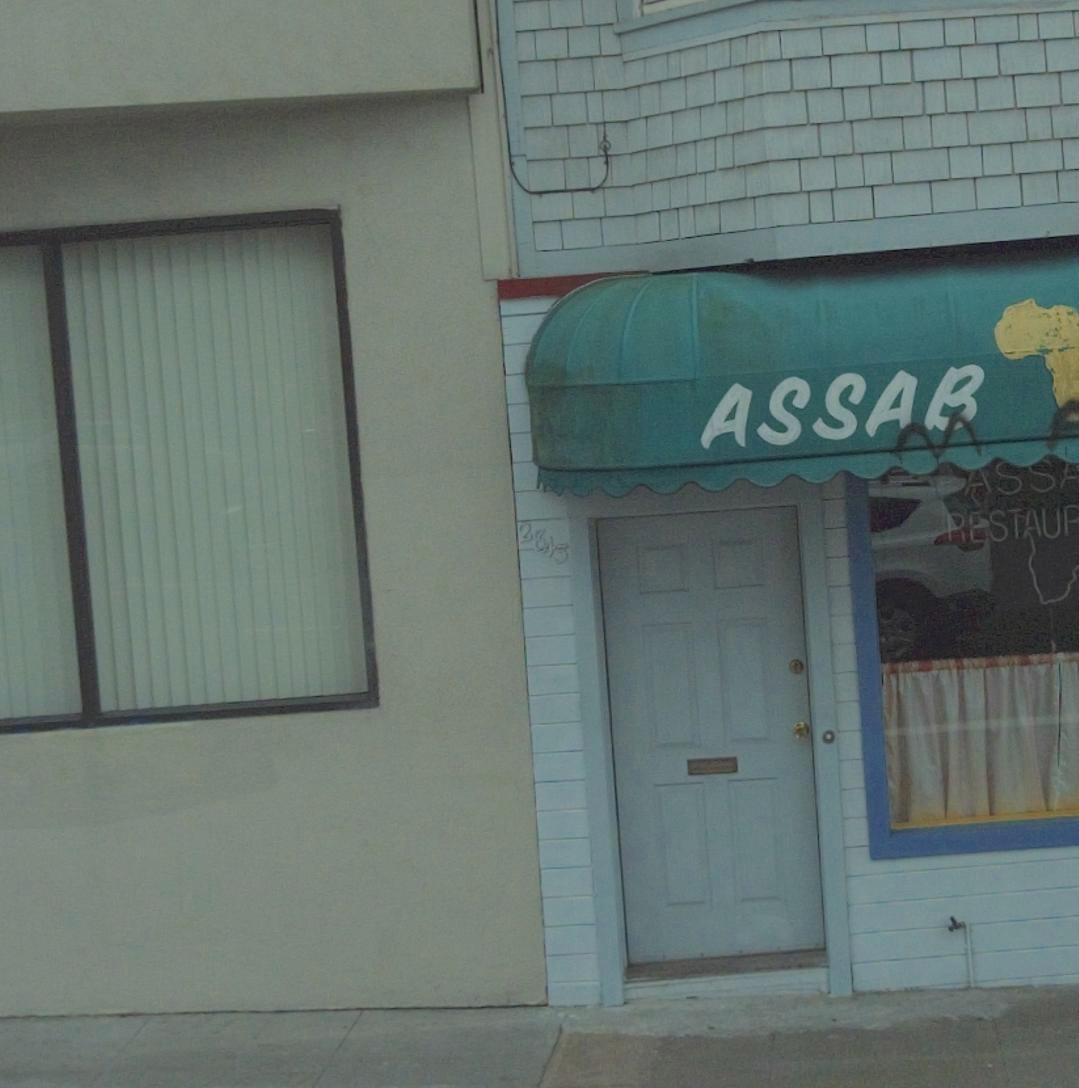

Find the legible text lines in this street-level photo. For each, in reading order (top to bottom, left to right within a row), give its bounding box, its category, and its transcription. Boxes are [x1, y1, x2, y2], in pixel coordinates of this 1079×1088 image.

[696, 360, 989, 453] BusinessName: ASSAB
[961, 454, 1058, 499] None: ASS
[515, 516, 570, 572] StreetNumber: 2845
[944, 504, 1063, 545] None: RESTAU